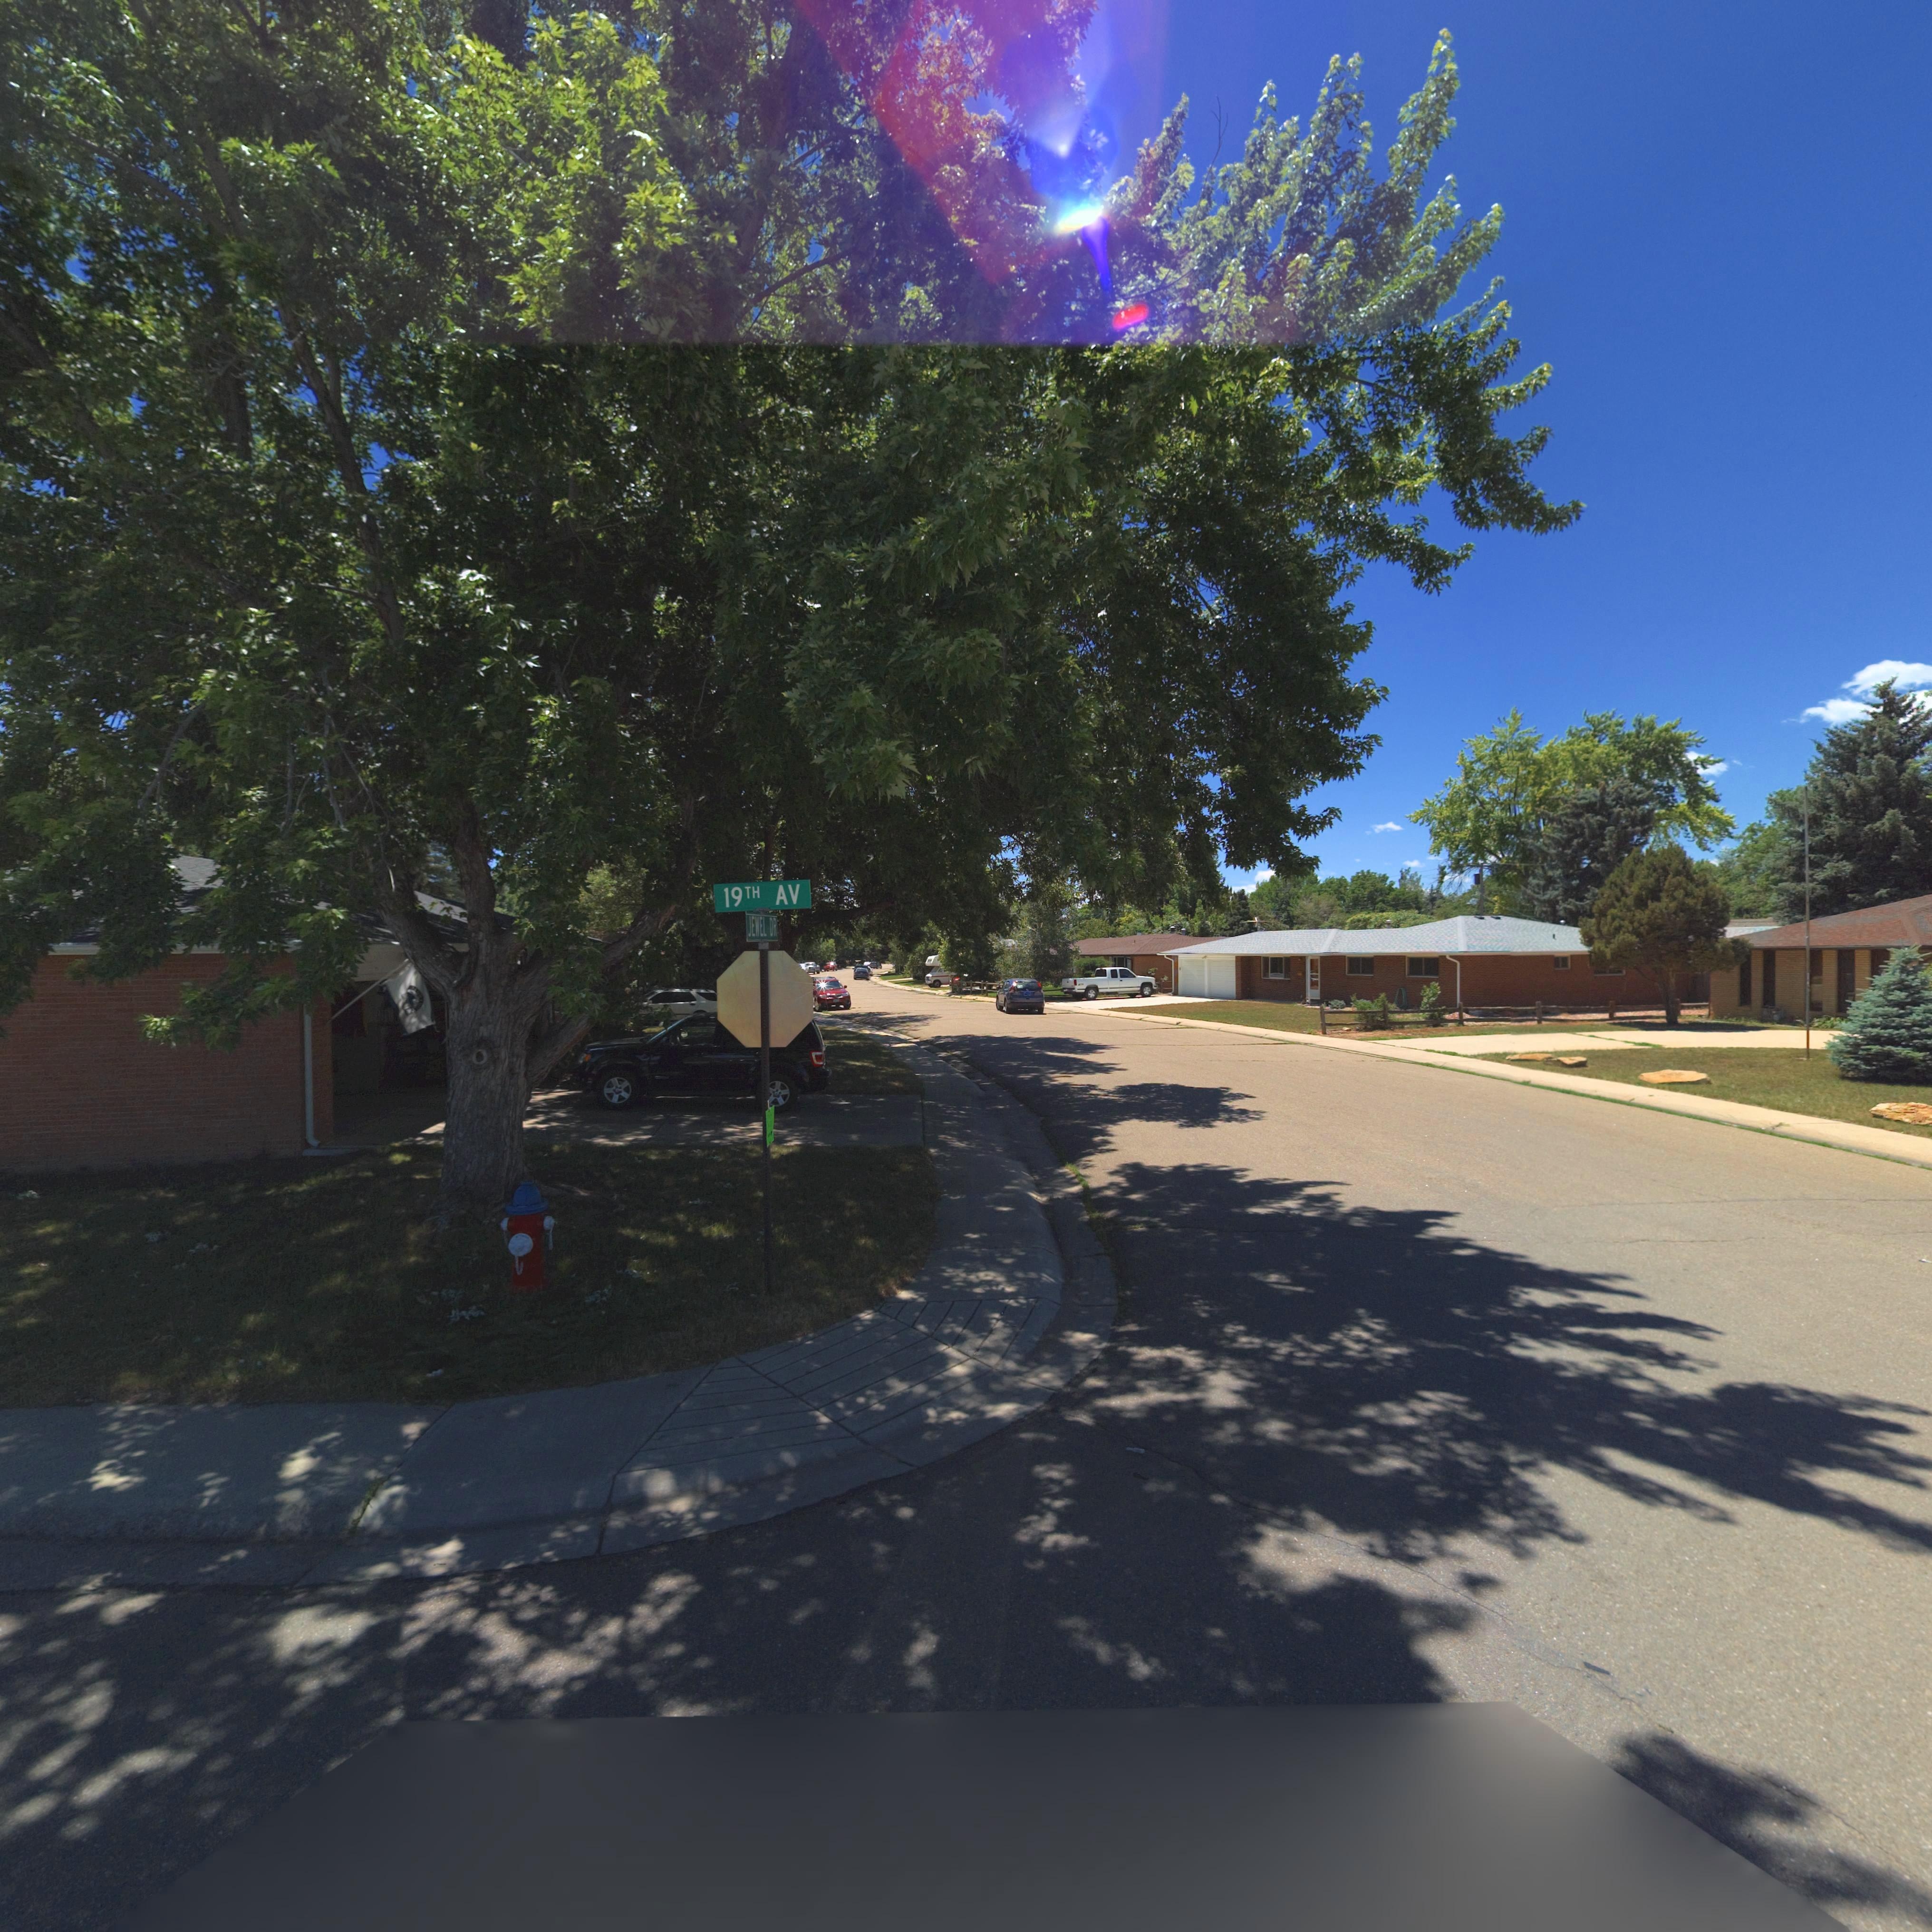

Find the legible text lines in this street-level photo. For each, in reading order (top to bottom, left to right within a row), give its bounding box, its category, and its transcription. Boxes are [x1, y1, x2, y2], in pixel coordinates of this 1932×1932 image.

[723, 883, 800, 908] StreetName: 19TH AV
[748, 916, 777, 937] StreetName: JEWEL DR